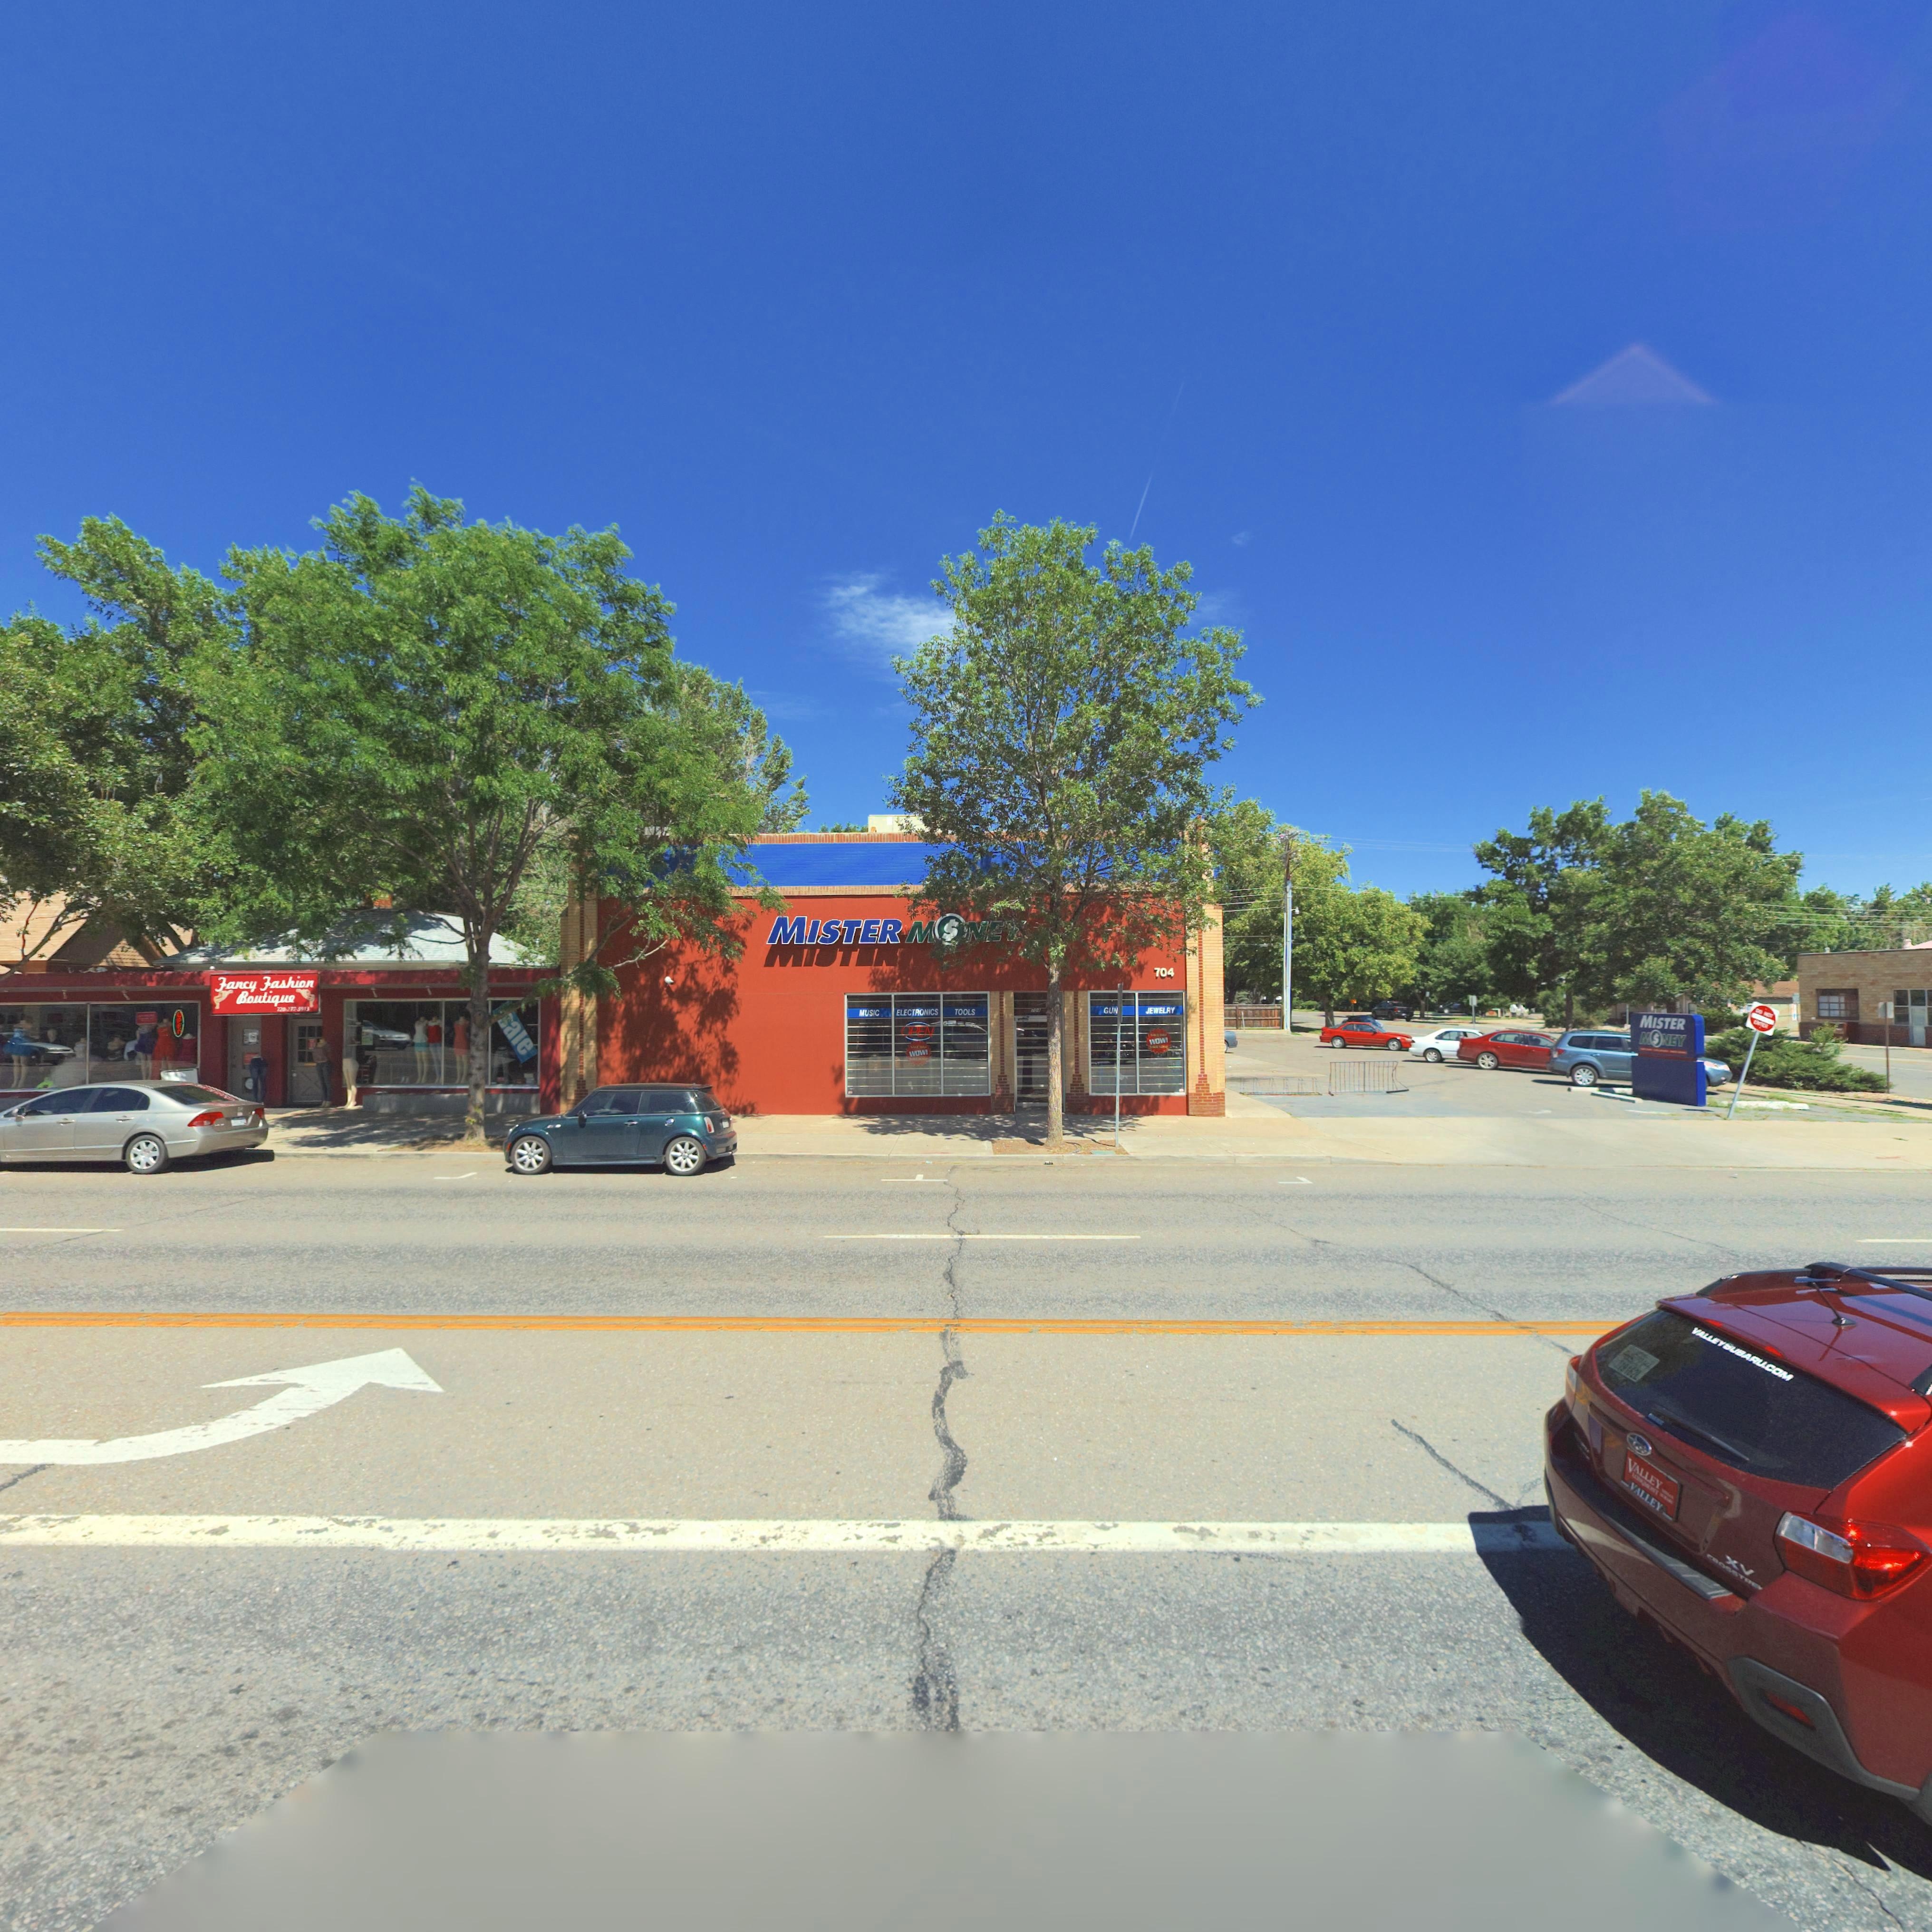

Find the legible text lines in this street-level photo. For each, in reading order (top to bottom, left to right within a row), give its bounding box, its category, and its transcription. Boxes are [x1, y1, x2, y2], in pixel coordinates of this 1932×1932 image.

[764, 916, 1028, 944] BusinessName: MISTER M*NE*
[1154, 967, 1174, 976] StreetNumber: 704
[214, 975, 314, 993] BusinessName: Fancy Fashion
[235, 990, 295, 1007] BusinessName: Boutique
[1031, 1008, 1041, 1012] StreetNumber: 70*
[1639, 1014, 1686, 1030] BusinessName: MISTER
[1638, 1031, 1687, 1047] BusinessName: M*NEY